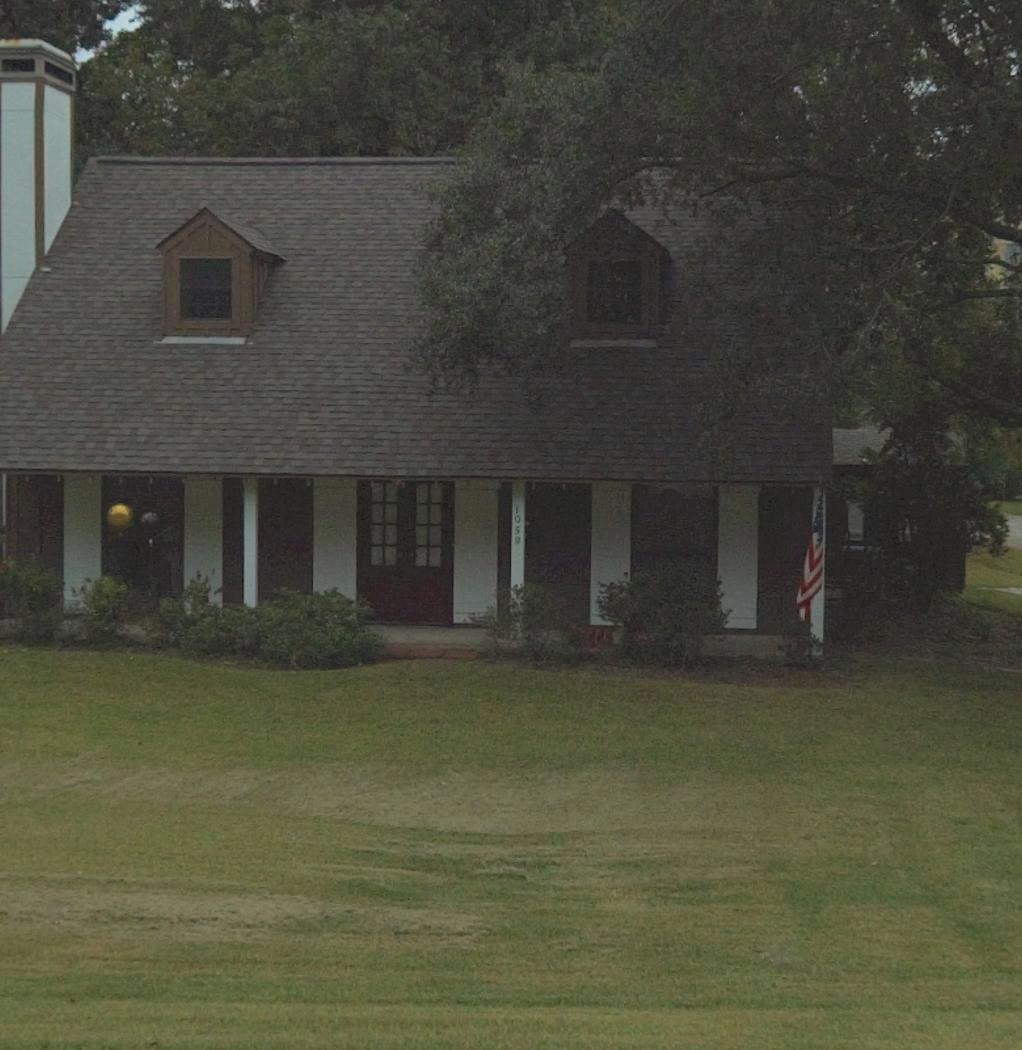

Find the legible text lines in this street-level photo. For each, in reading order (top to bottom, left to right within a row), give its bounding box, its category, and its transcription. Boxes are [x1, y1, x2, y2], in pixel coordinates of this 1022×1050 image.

[514, 504, 522, 548] StreetNumber: 1058